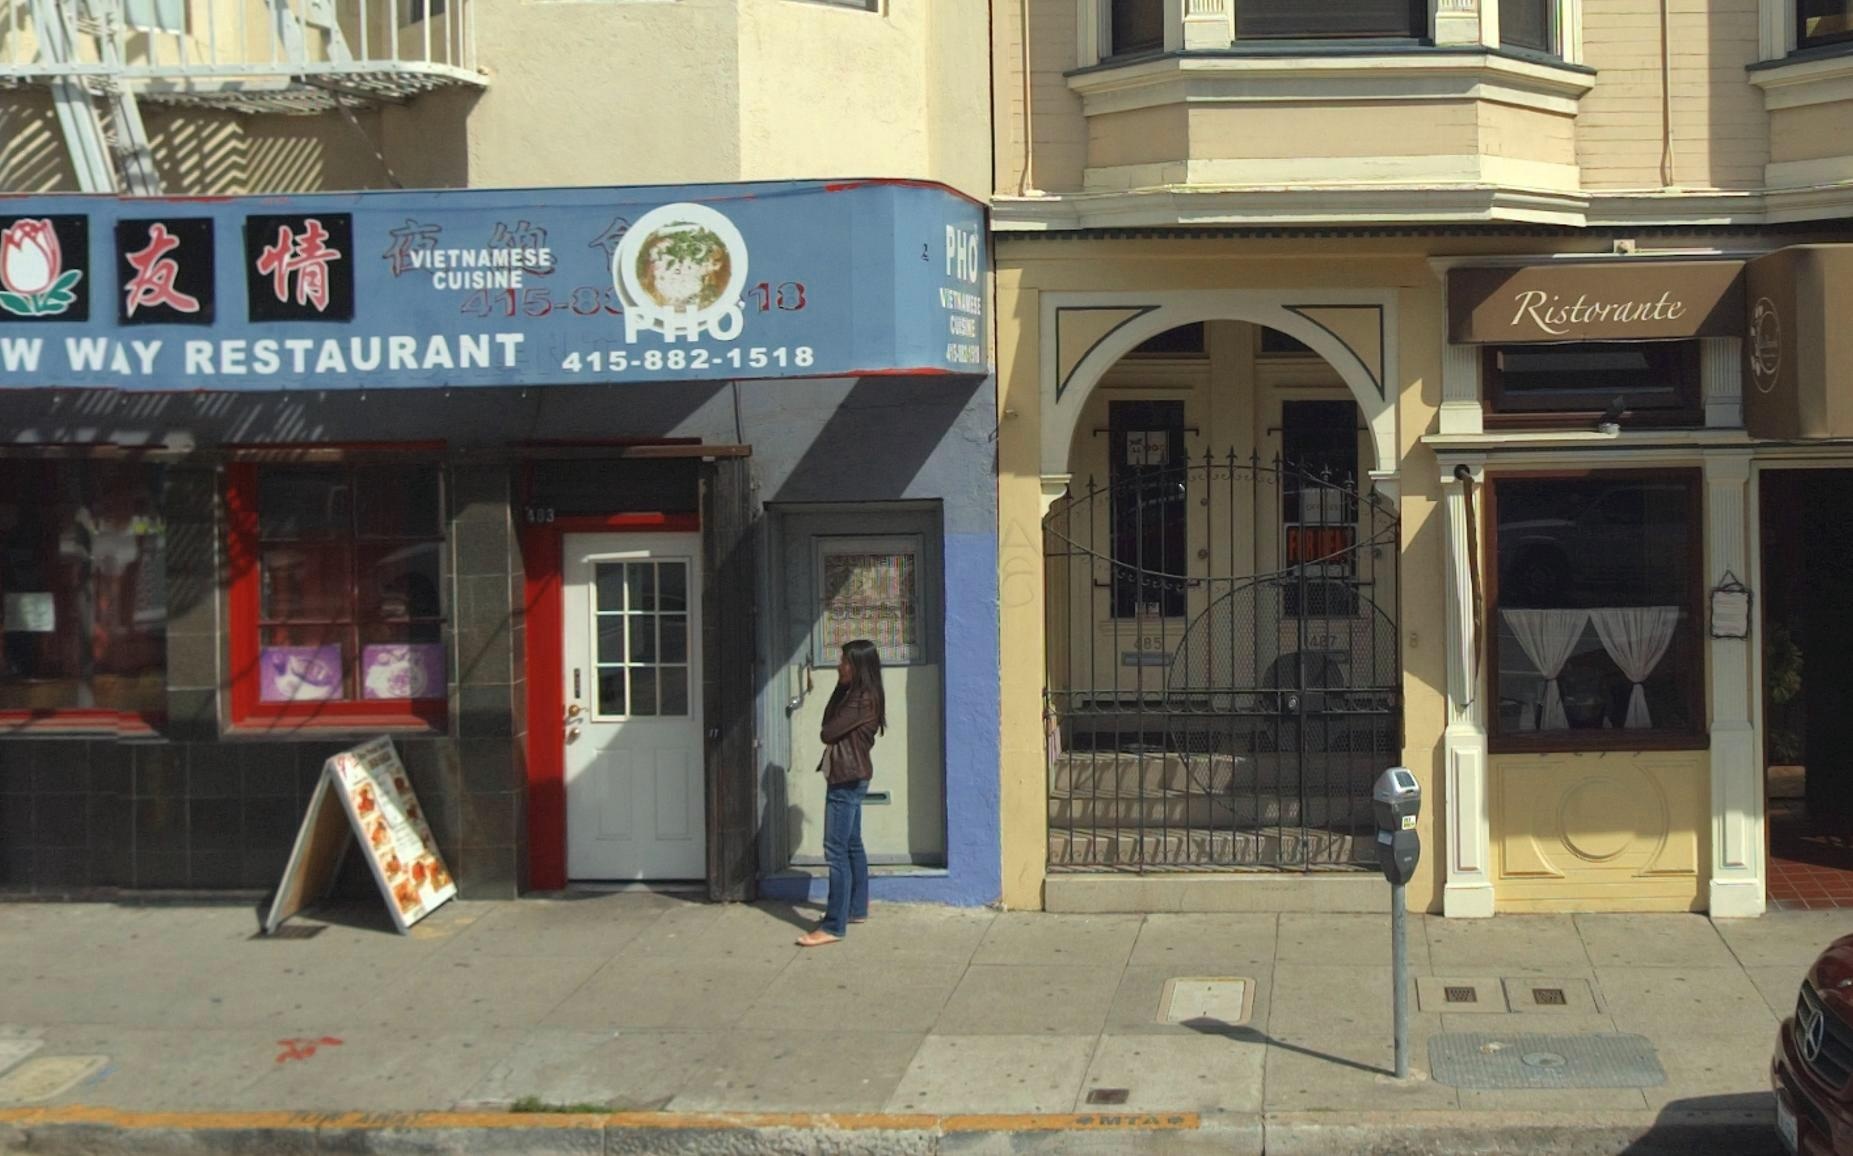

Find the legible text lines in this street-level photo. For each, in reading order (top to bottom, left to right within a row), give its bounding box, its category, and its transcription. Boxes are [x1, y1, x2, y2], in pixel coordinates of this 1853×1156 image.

[407, 243, 557, 272] None: VIETNAMESE
[941, 218, 981, 288] BusinessName: PHO
[429, 266, 529, 292] None: CUISINE
[452, 284, 608, 322] None: 415-8
[619, 296, 752, 348] BusinessName: PHO
[743, 278, 811, 318] None: 18
[1504, 284, 1691, 342] BusinessName: Ristorante
[0, 330, 532, 377] None: W W*Y RESTAURANT
[556, 342, 818, 376] None: 415-882-1518
[1149, 442, 1161, 454] None: O
[522, 505, 558, 526] StreetNumber: 483
[1288, 528, 1297, 563] None: F
[1304, 529, 1315, 563] None: R
[1132, 636, 1165, 653] StreetNumber: 485
[1308, 633, 1339, 649] StreetNumber: 487
[1408, 630, 1419, 652] None: 8